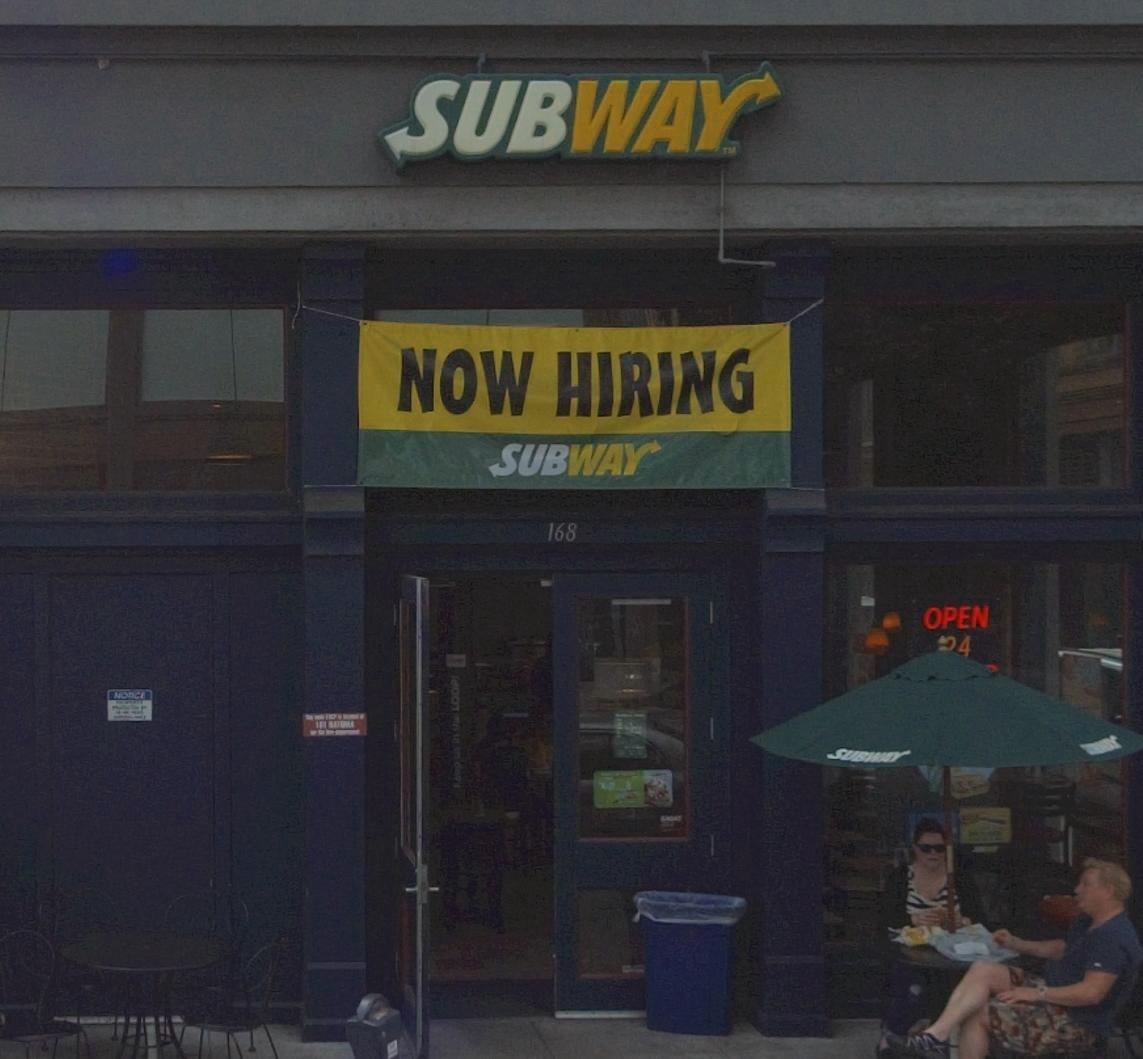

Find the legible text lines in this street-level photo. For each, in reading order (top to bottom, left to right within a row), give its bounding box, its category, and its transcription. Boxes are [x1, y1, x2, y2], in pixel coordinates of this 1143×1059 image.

[372, 56, 791, 176] BusinessName: SUBWAY
[391, 342, 761, 423] None: NOW HIRING
[483, 435, 666, 481] BusinessName: SUBWAY
[546, 520, 580, 544] StreetNumber: 168
[918, 600, 994, 634] None: OPEN
[954, 632, 973, 661] None: 4
[110, 690, 149, 701] None: NOTICE
[823, 743, 914, 767] BusinessName: SUBWAY